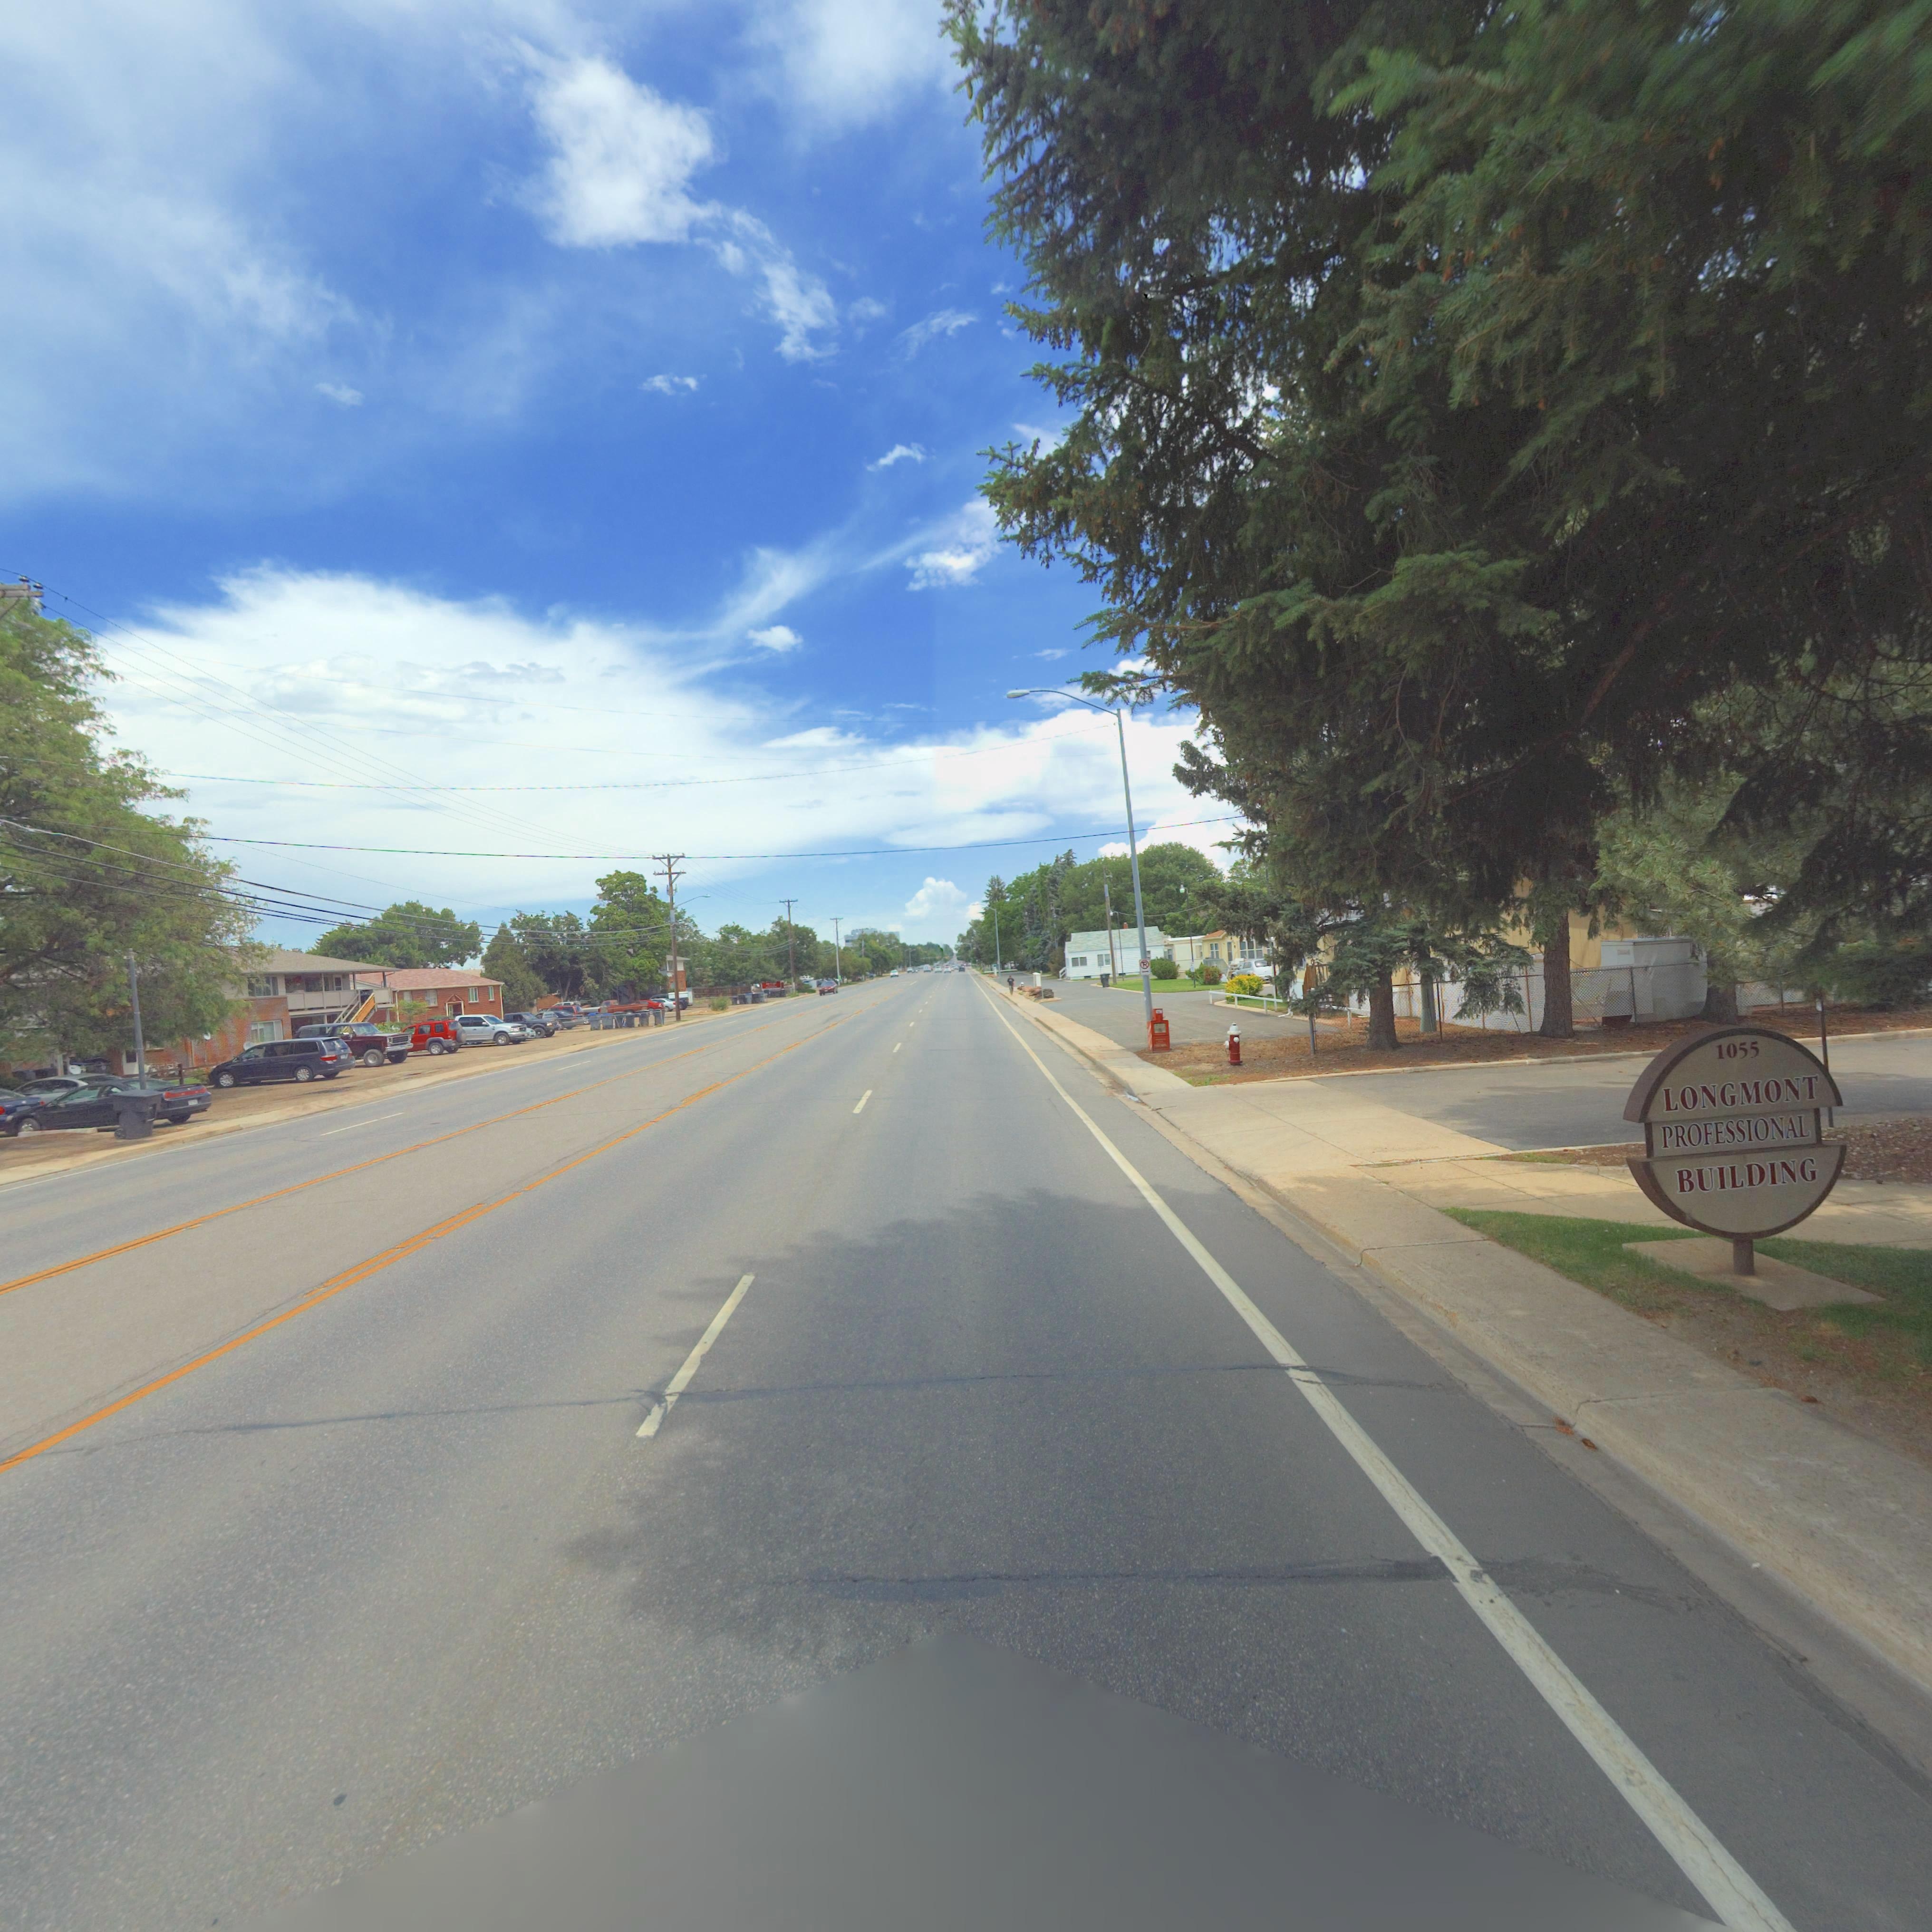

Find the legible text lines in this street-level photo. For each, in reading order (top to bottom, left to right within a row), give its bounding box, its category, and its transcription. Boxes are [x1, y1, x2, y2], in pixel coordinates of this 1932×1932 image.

[1713, 1038, 1761, 1062] StreetNumber: 1055